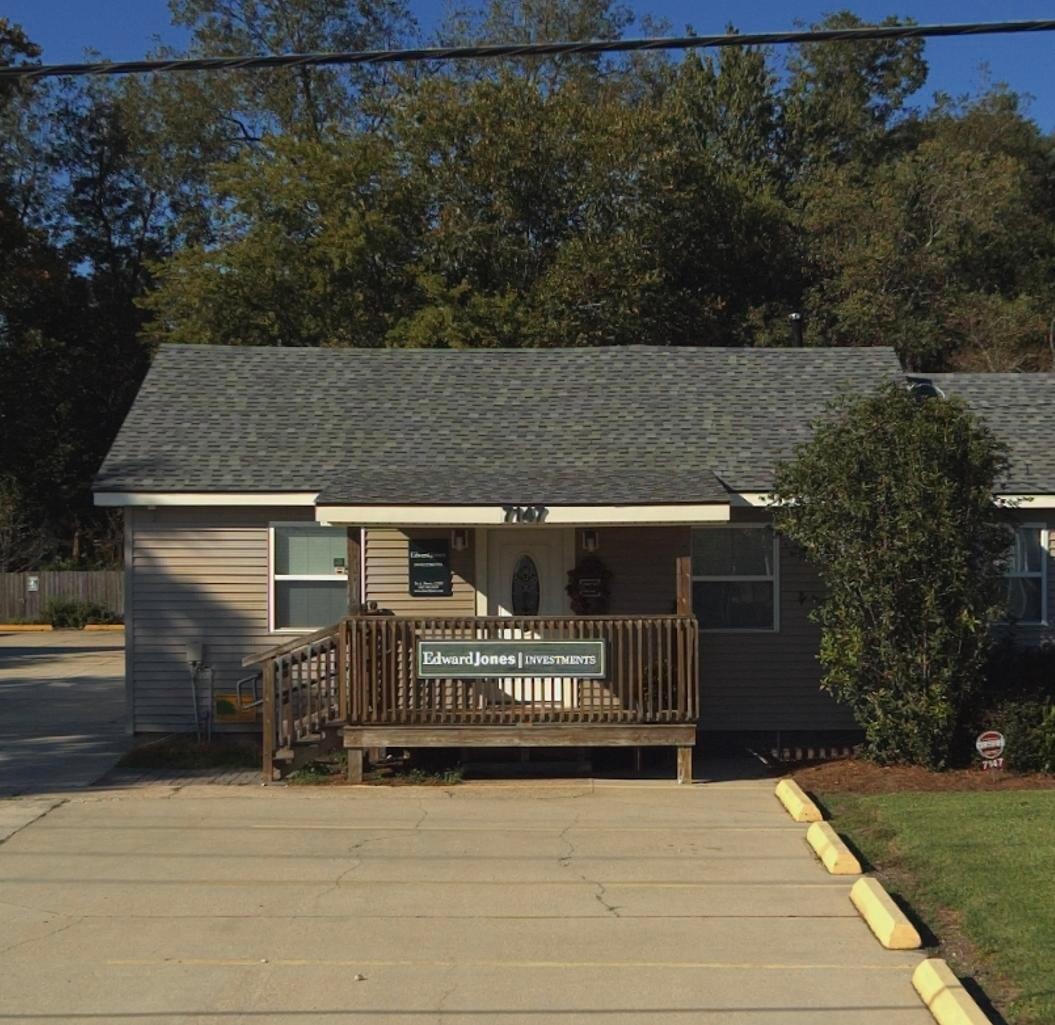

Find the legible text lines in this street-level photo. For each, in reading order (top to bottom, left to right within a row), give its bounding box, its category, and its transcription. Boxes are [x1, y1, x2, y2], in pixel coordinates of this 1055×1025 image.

[500, 504, 546, 523] StreetNumber: 7147
[420, 649, 597, 670] BusinessName: Edward Jones I INVESTMENTS
[979, 756, 1005, 771] StreetNumber: 7147